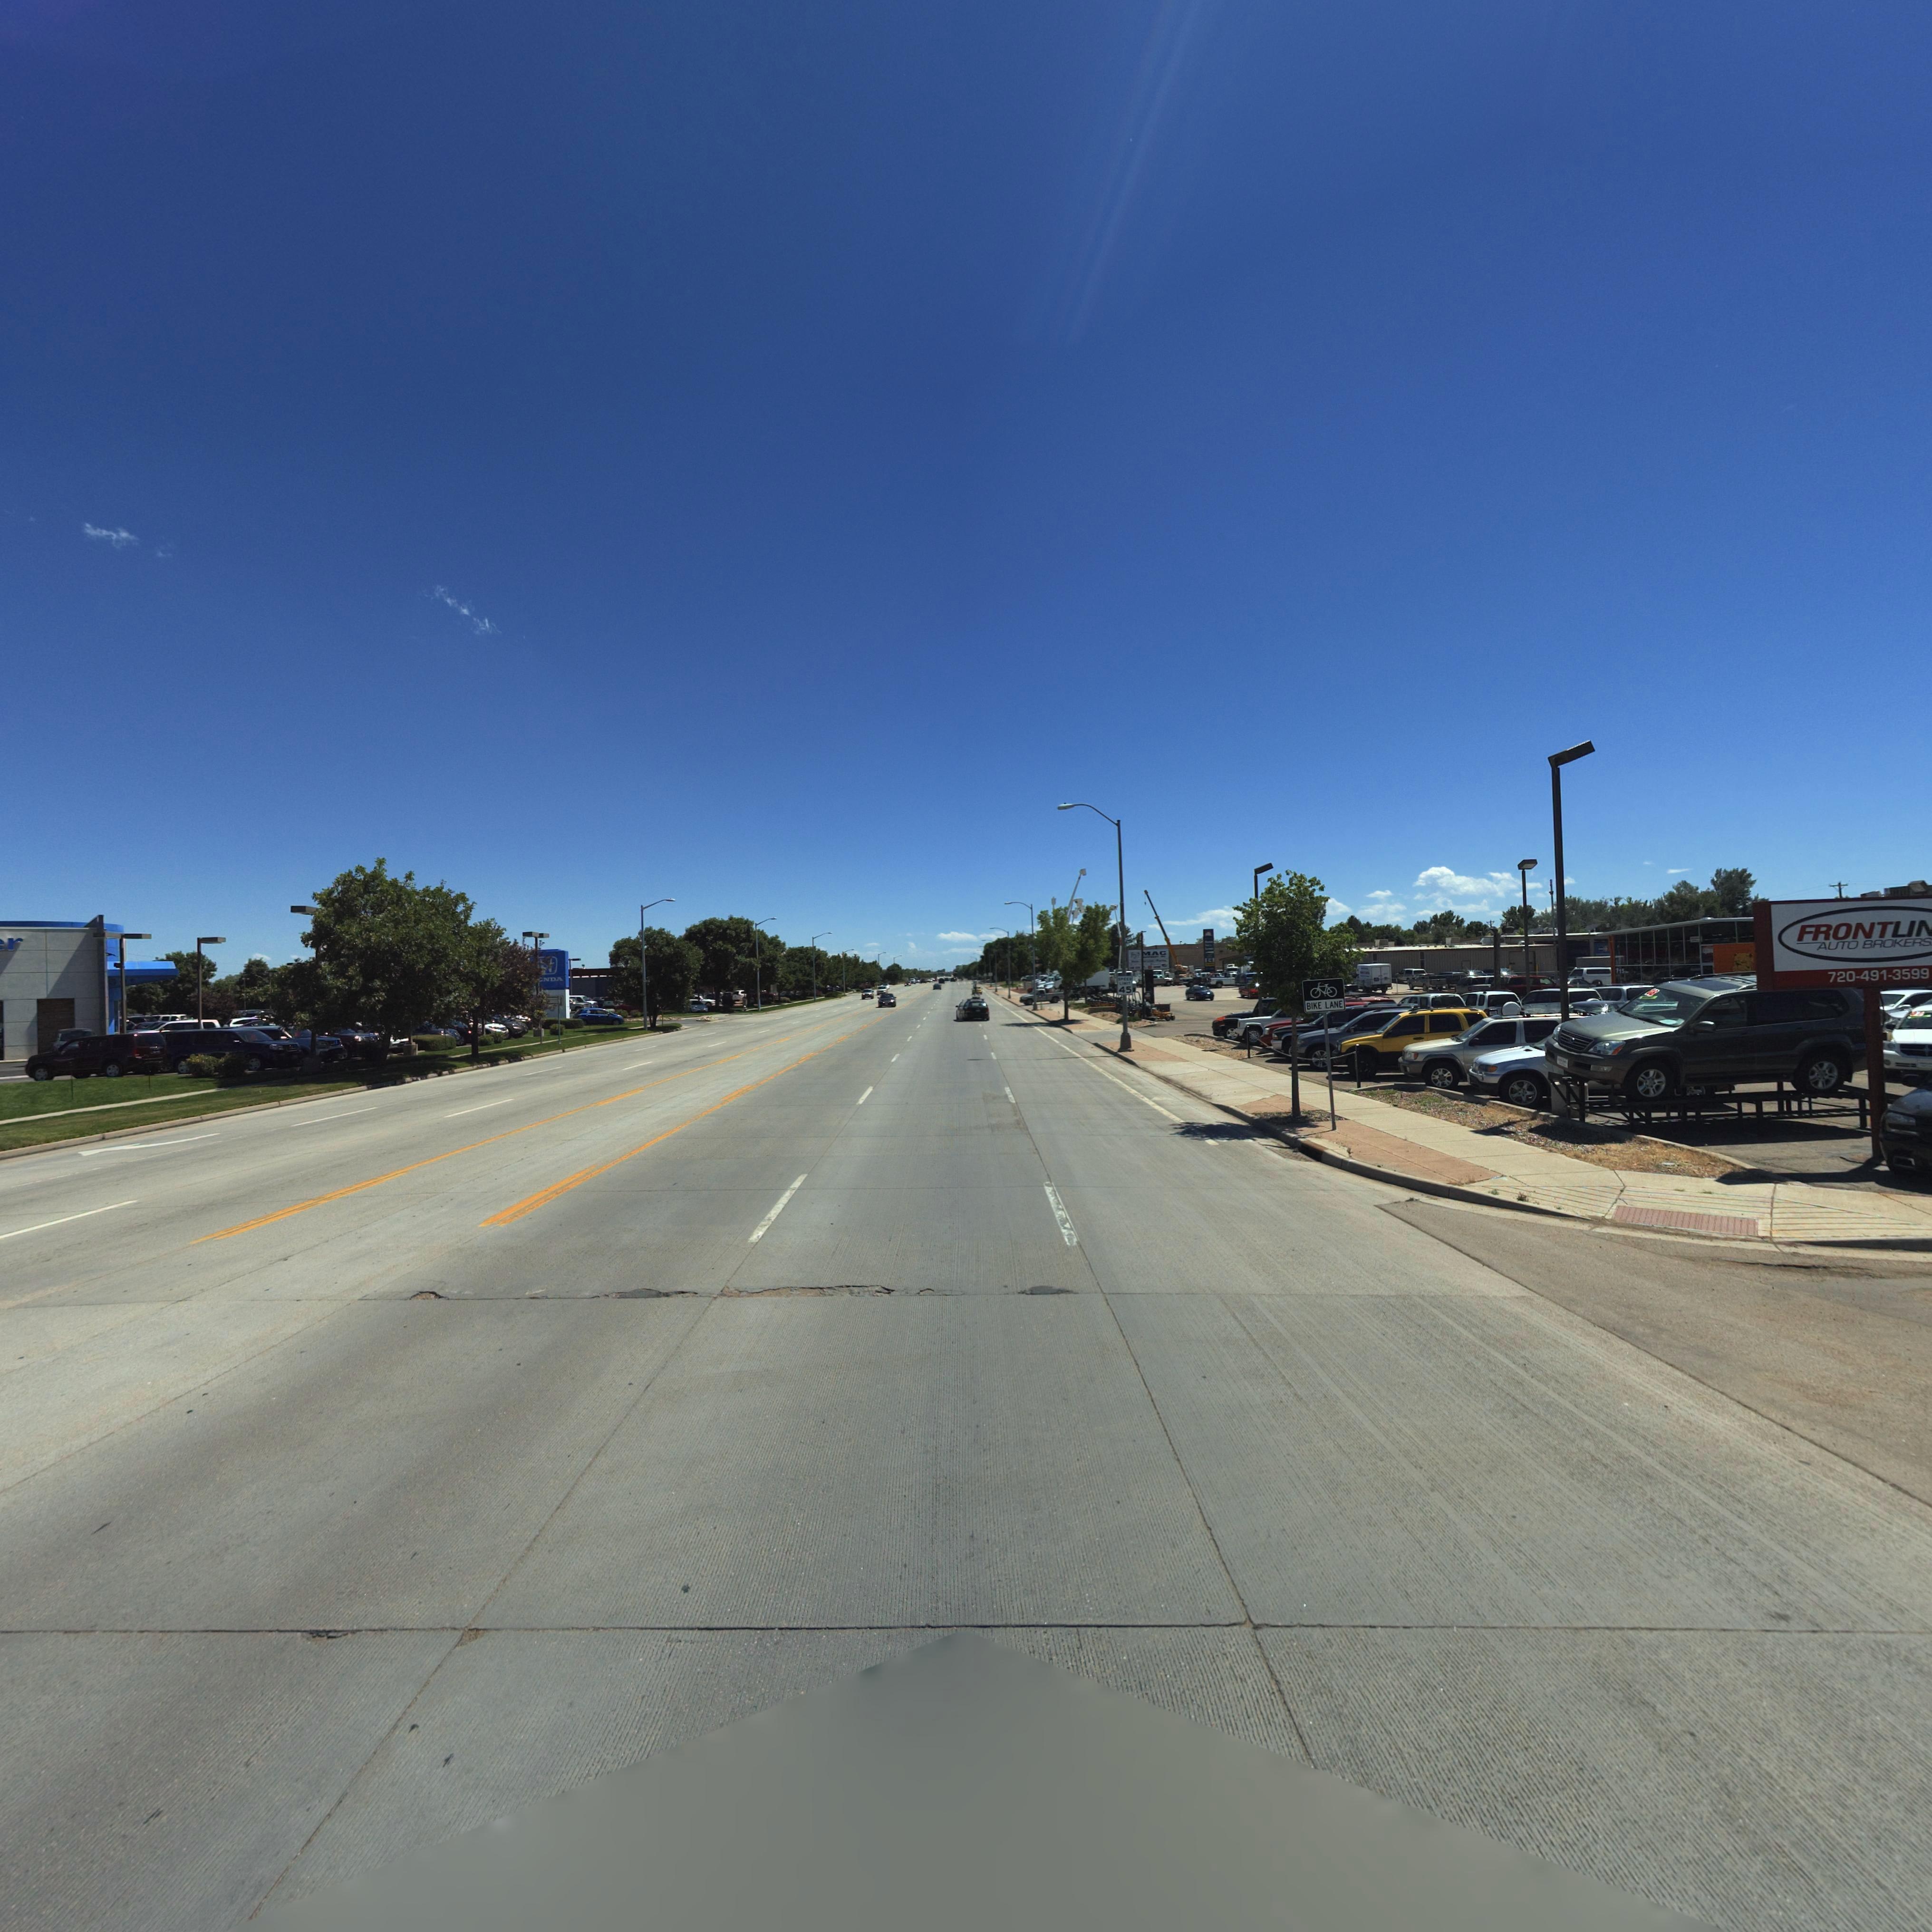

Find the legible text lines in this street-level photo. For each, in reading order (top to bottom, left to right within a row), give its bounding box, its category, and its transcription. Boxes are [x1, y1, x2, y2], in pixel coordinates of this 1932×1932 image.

[1796, 919, 1917, 941] BusinessName: FRONTLI
[7, 937, 24, 951] BusinessName: r
[1816, 937, 1931, 951] BusinessName: AUTO BROKERS
[1142, 951, 1167, 956] BusinessName: *AC
[1615, 968, 1625, 974] StreetNumber: 715
[531, 976, 564, 983] BusinessName: **NDA